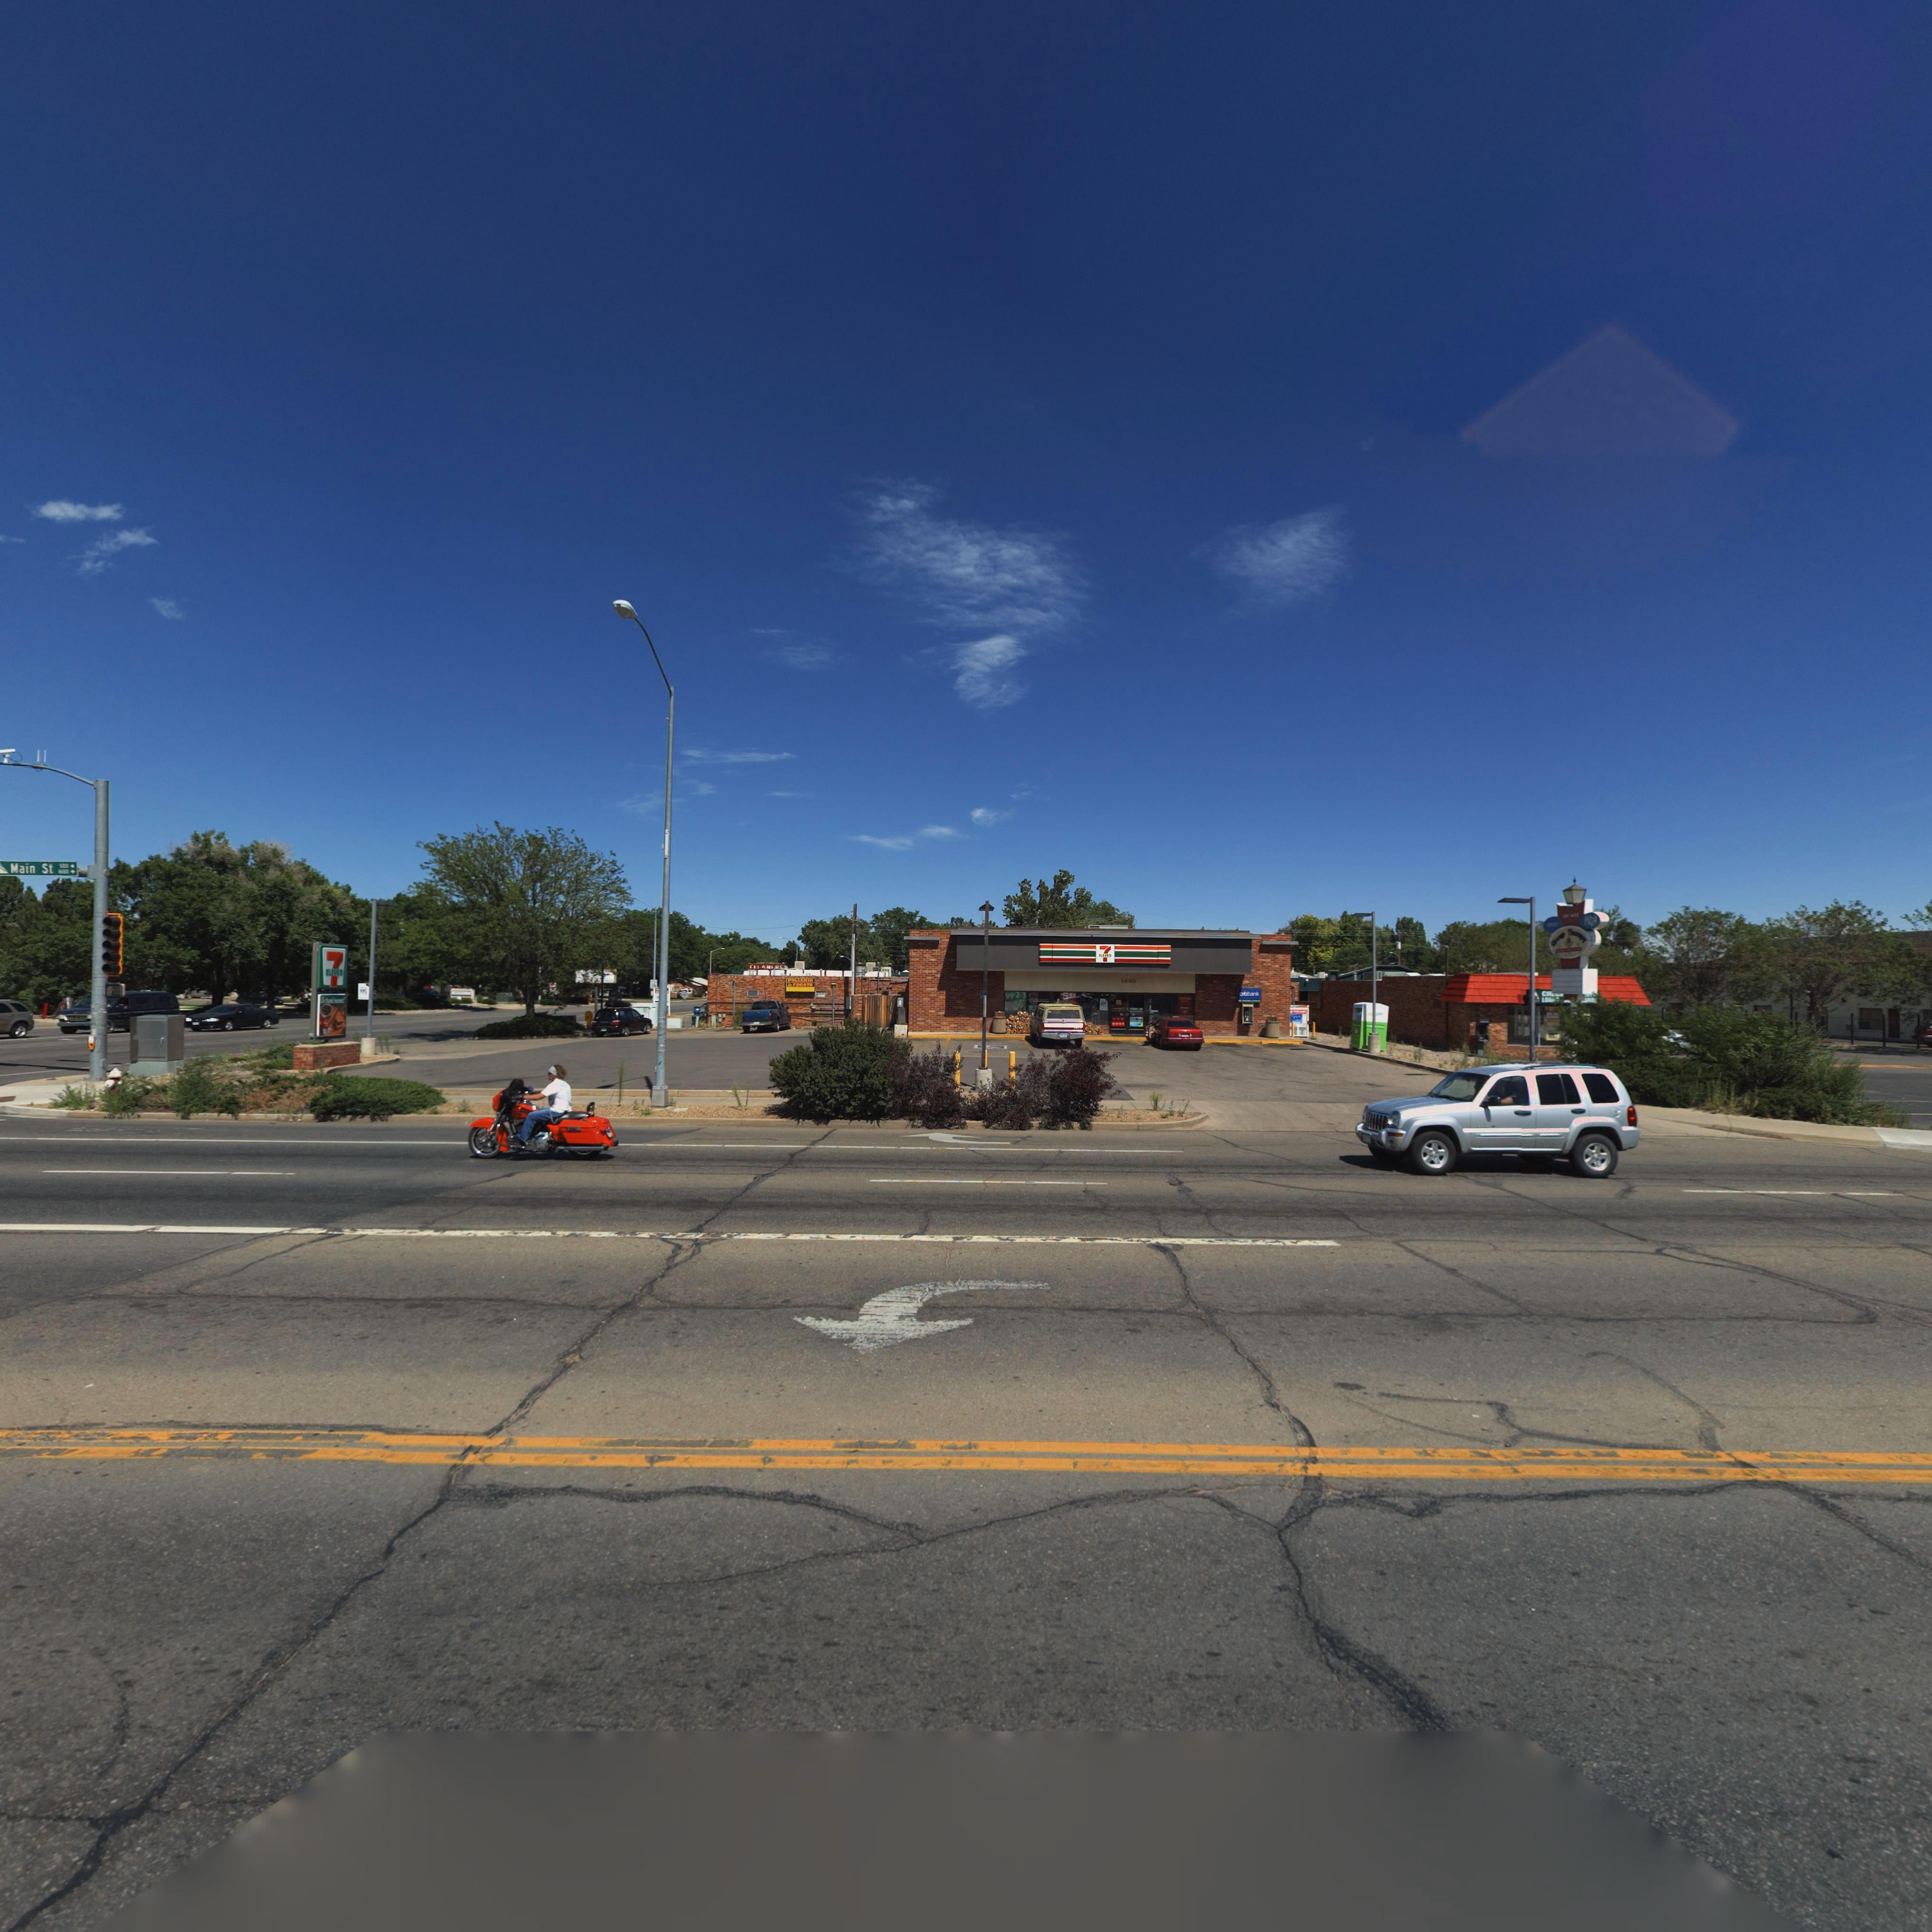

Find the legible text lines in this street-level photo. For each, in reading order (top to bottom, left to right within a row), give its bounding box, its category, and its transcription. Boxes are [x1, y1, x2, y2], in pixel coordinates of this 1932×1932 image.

[59, 863, 69, 868] StreetNumberRange: 500
[10, 863, 54, 874] StreetName: Main St
[58, 869, 77, 874] StreetNumberRange: **00 ->
[1098, 945, 1111, 962] BusinessName: 7
[1099, 954, 1111, 957] BusinessName: ELE**N
[324, 949, 345, 988] BusinessName: 7
[325, 968, 343, 976] BusinessName: ELEV**
[787, 978, 813, 982] BusinessName: POLLERIA
[1121, 979, 1136, 983] StreetNumber: 1650
[787, 983, 813, 986] BusinessName: L* FO*A*A
[1541, 990, 1560, 997] BusinessName: vh***